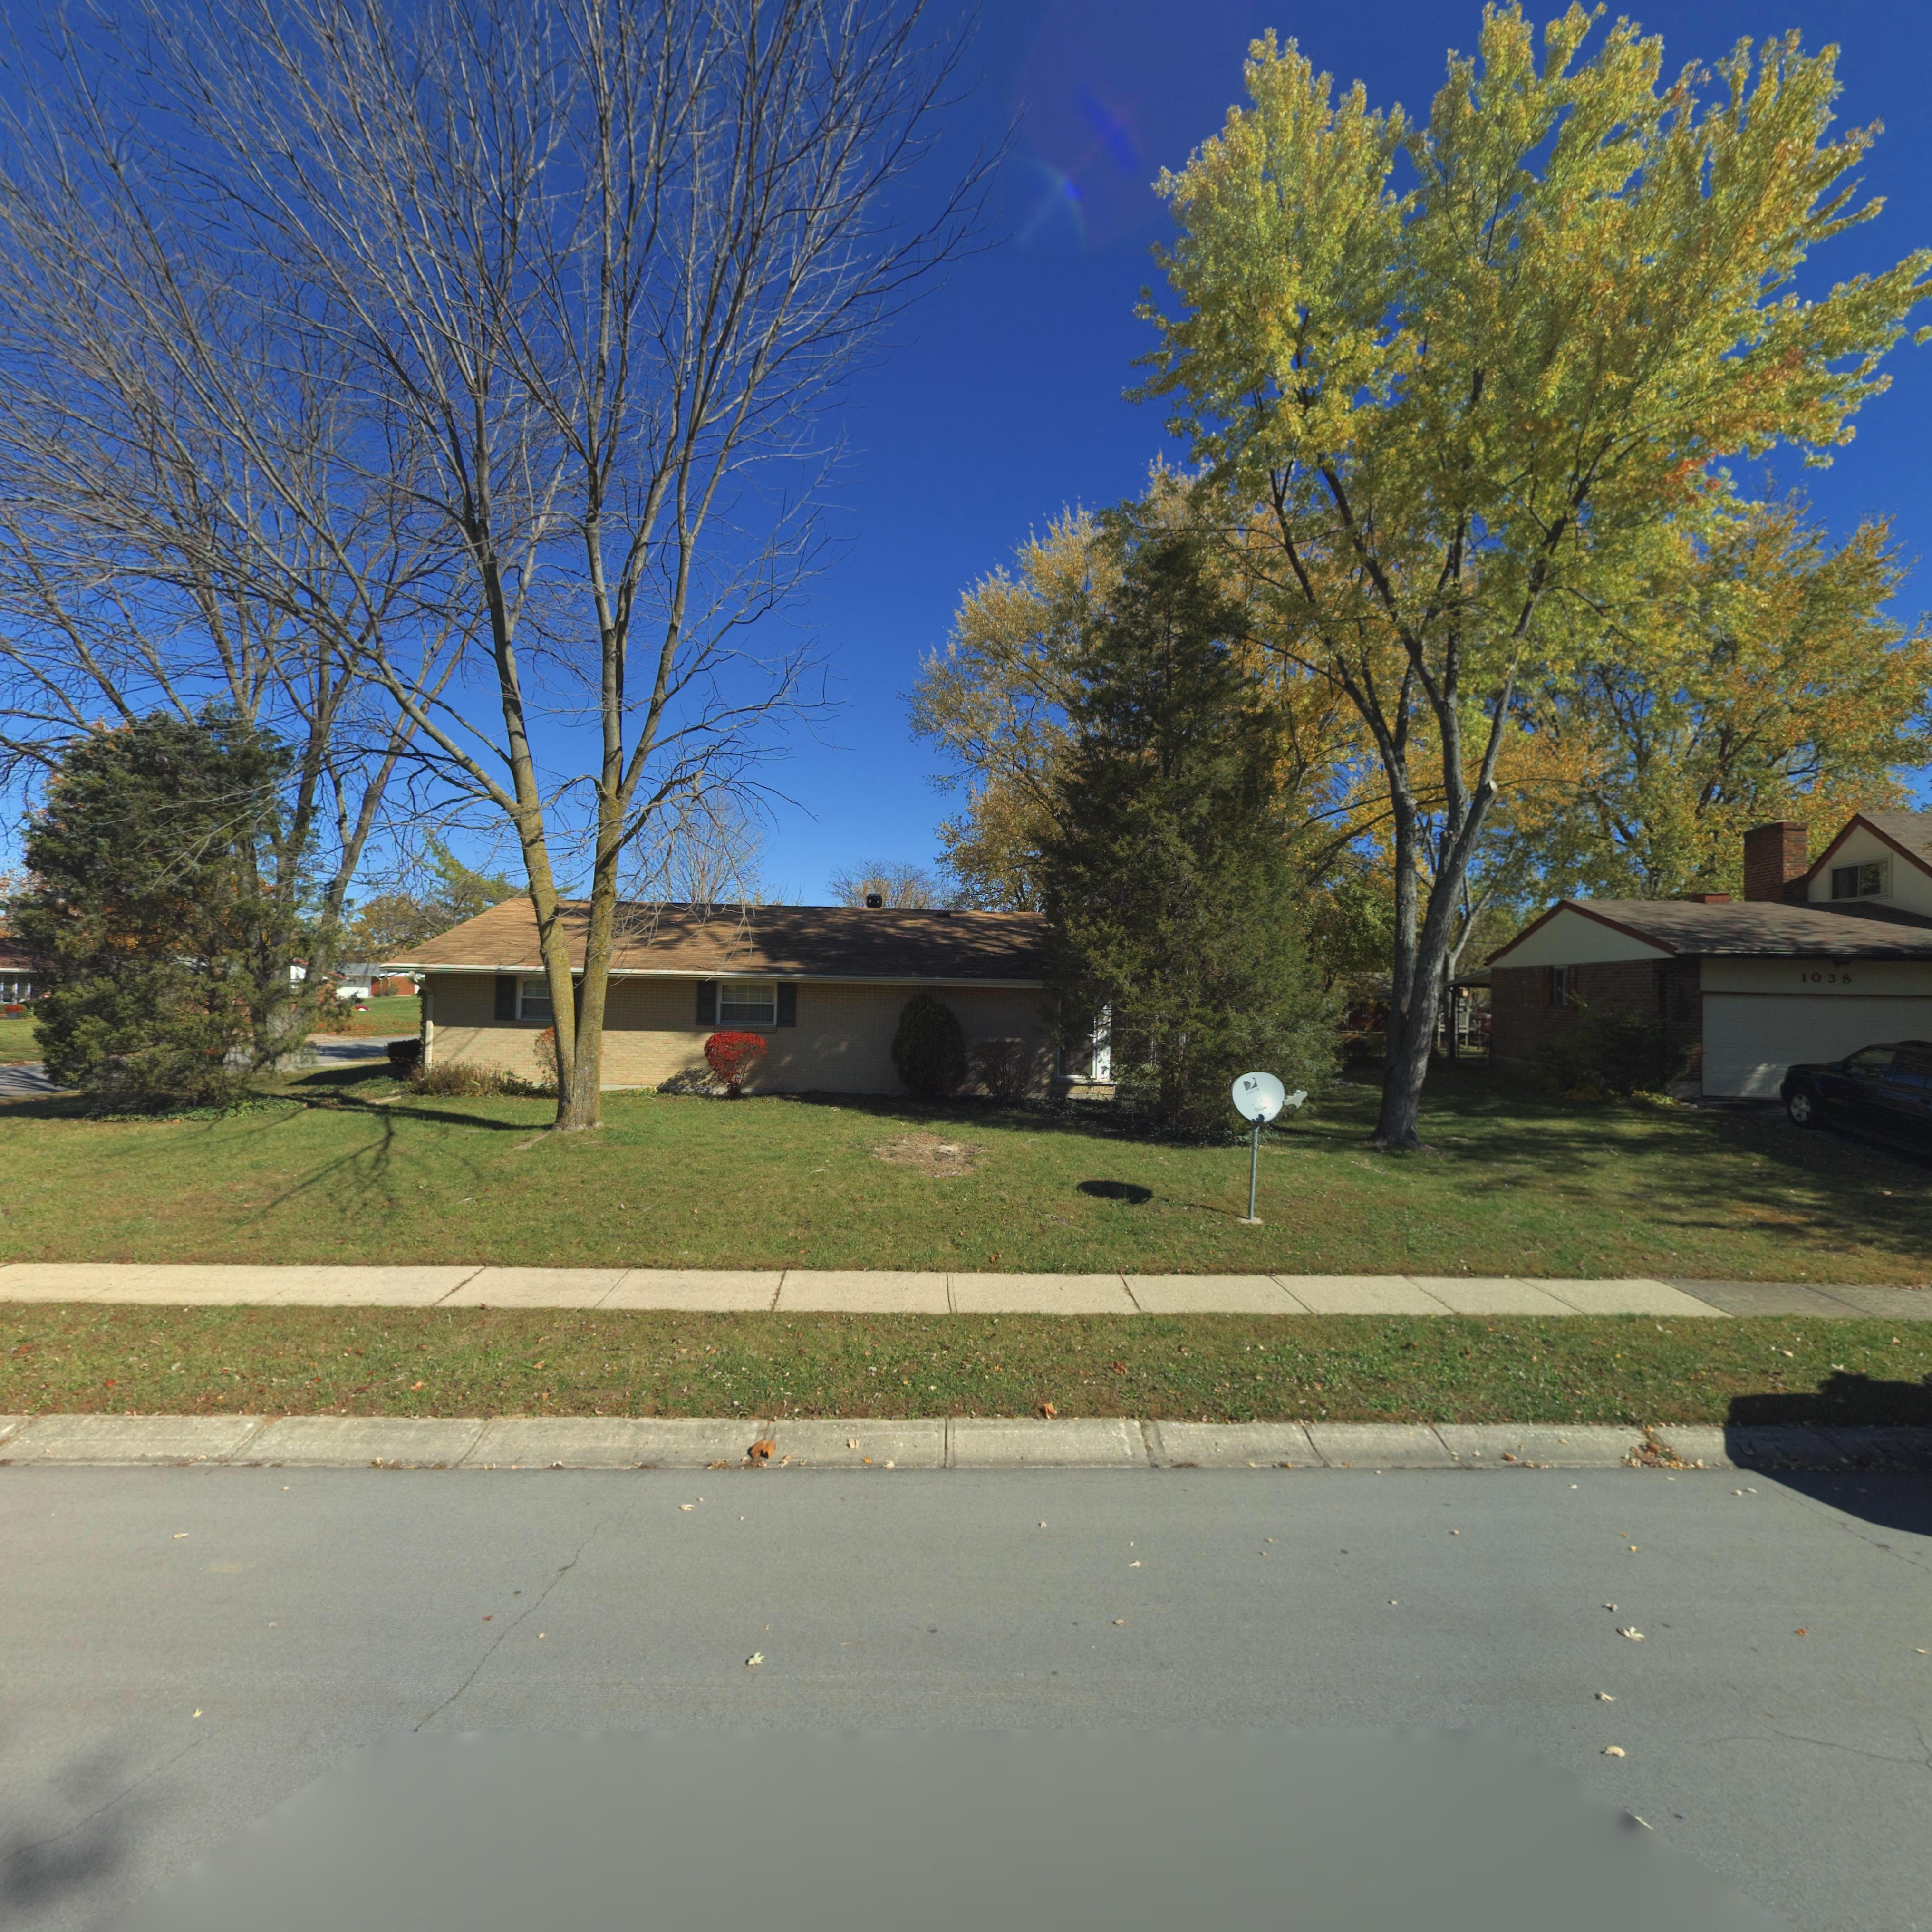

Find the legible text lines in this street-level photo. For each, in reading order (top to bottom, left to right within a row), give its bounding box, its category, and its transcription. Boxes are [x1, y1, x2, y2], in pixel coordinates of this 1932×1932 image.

[1800, 971, 1852, 985] StreetNumber: 1038